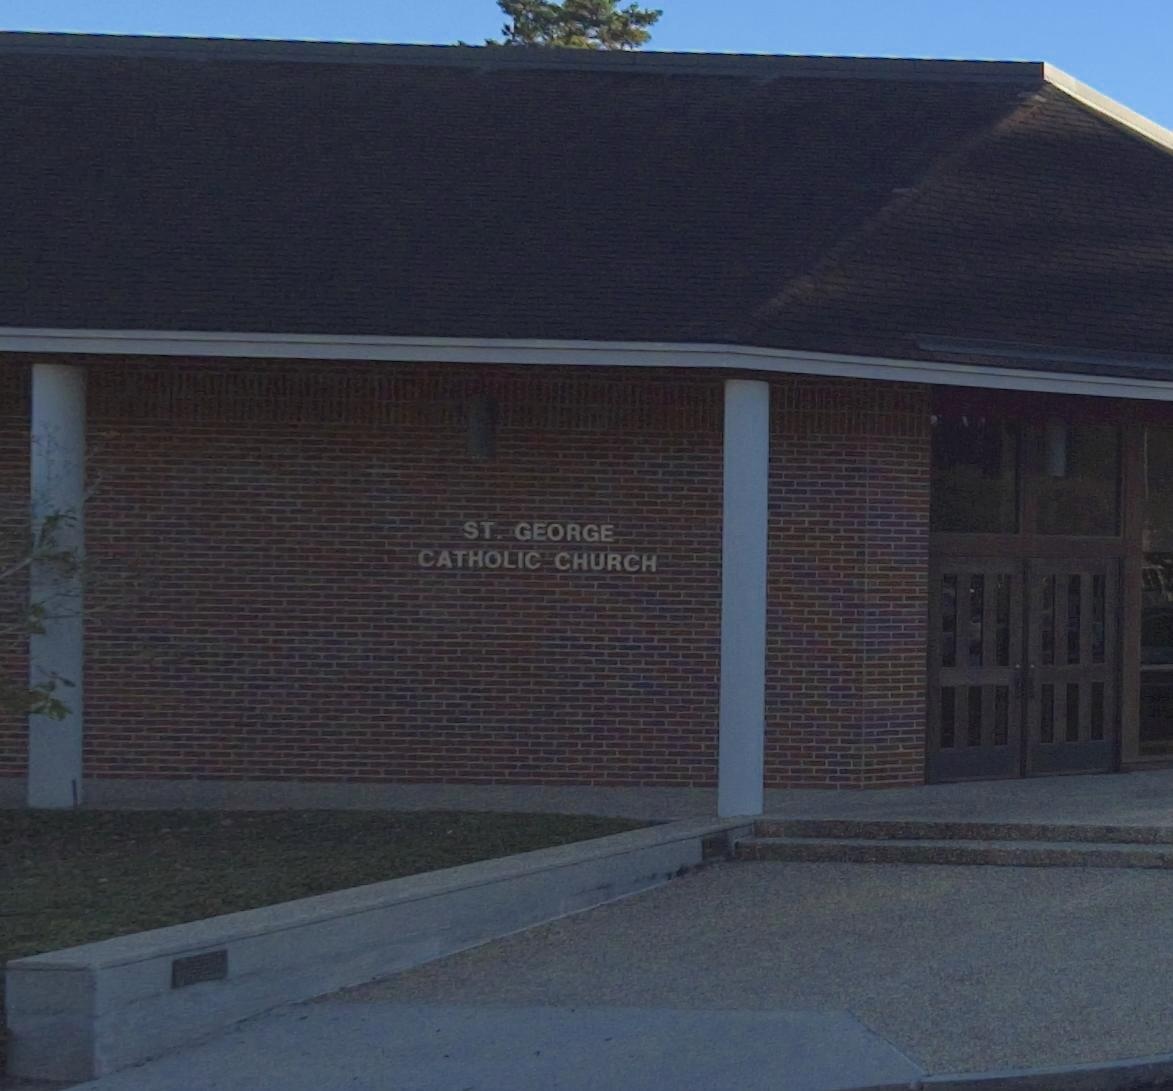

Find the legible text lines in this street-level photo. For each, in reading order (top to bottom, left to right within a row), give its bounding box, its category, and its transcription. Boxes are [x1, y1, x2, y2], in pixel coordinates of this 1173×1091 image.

[461, 519, 617, 544] BusinessName: ST. GEORGE
[417, 549, 658, 574] BusinessName: CATHOLIC CHURCH